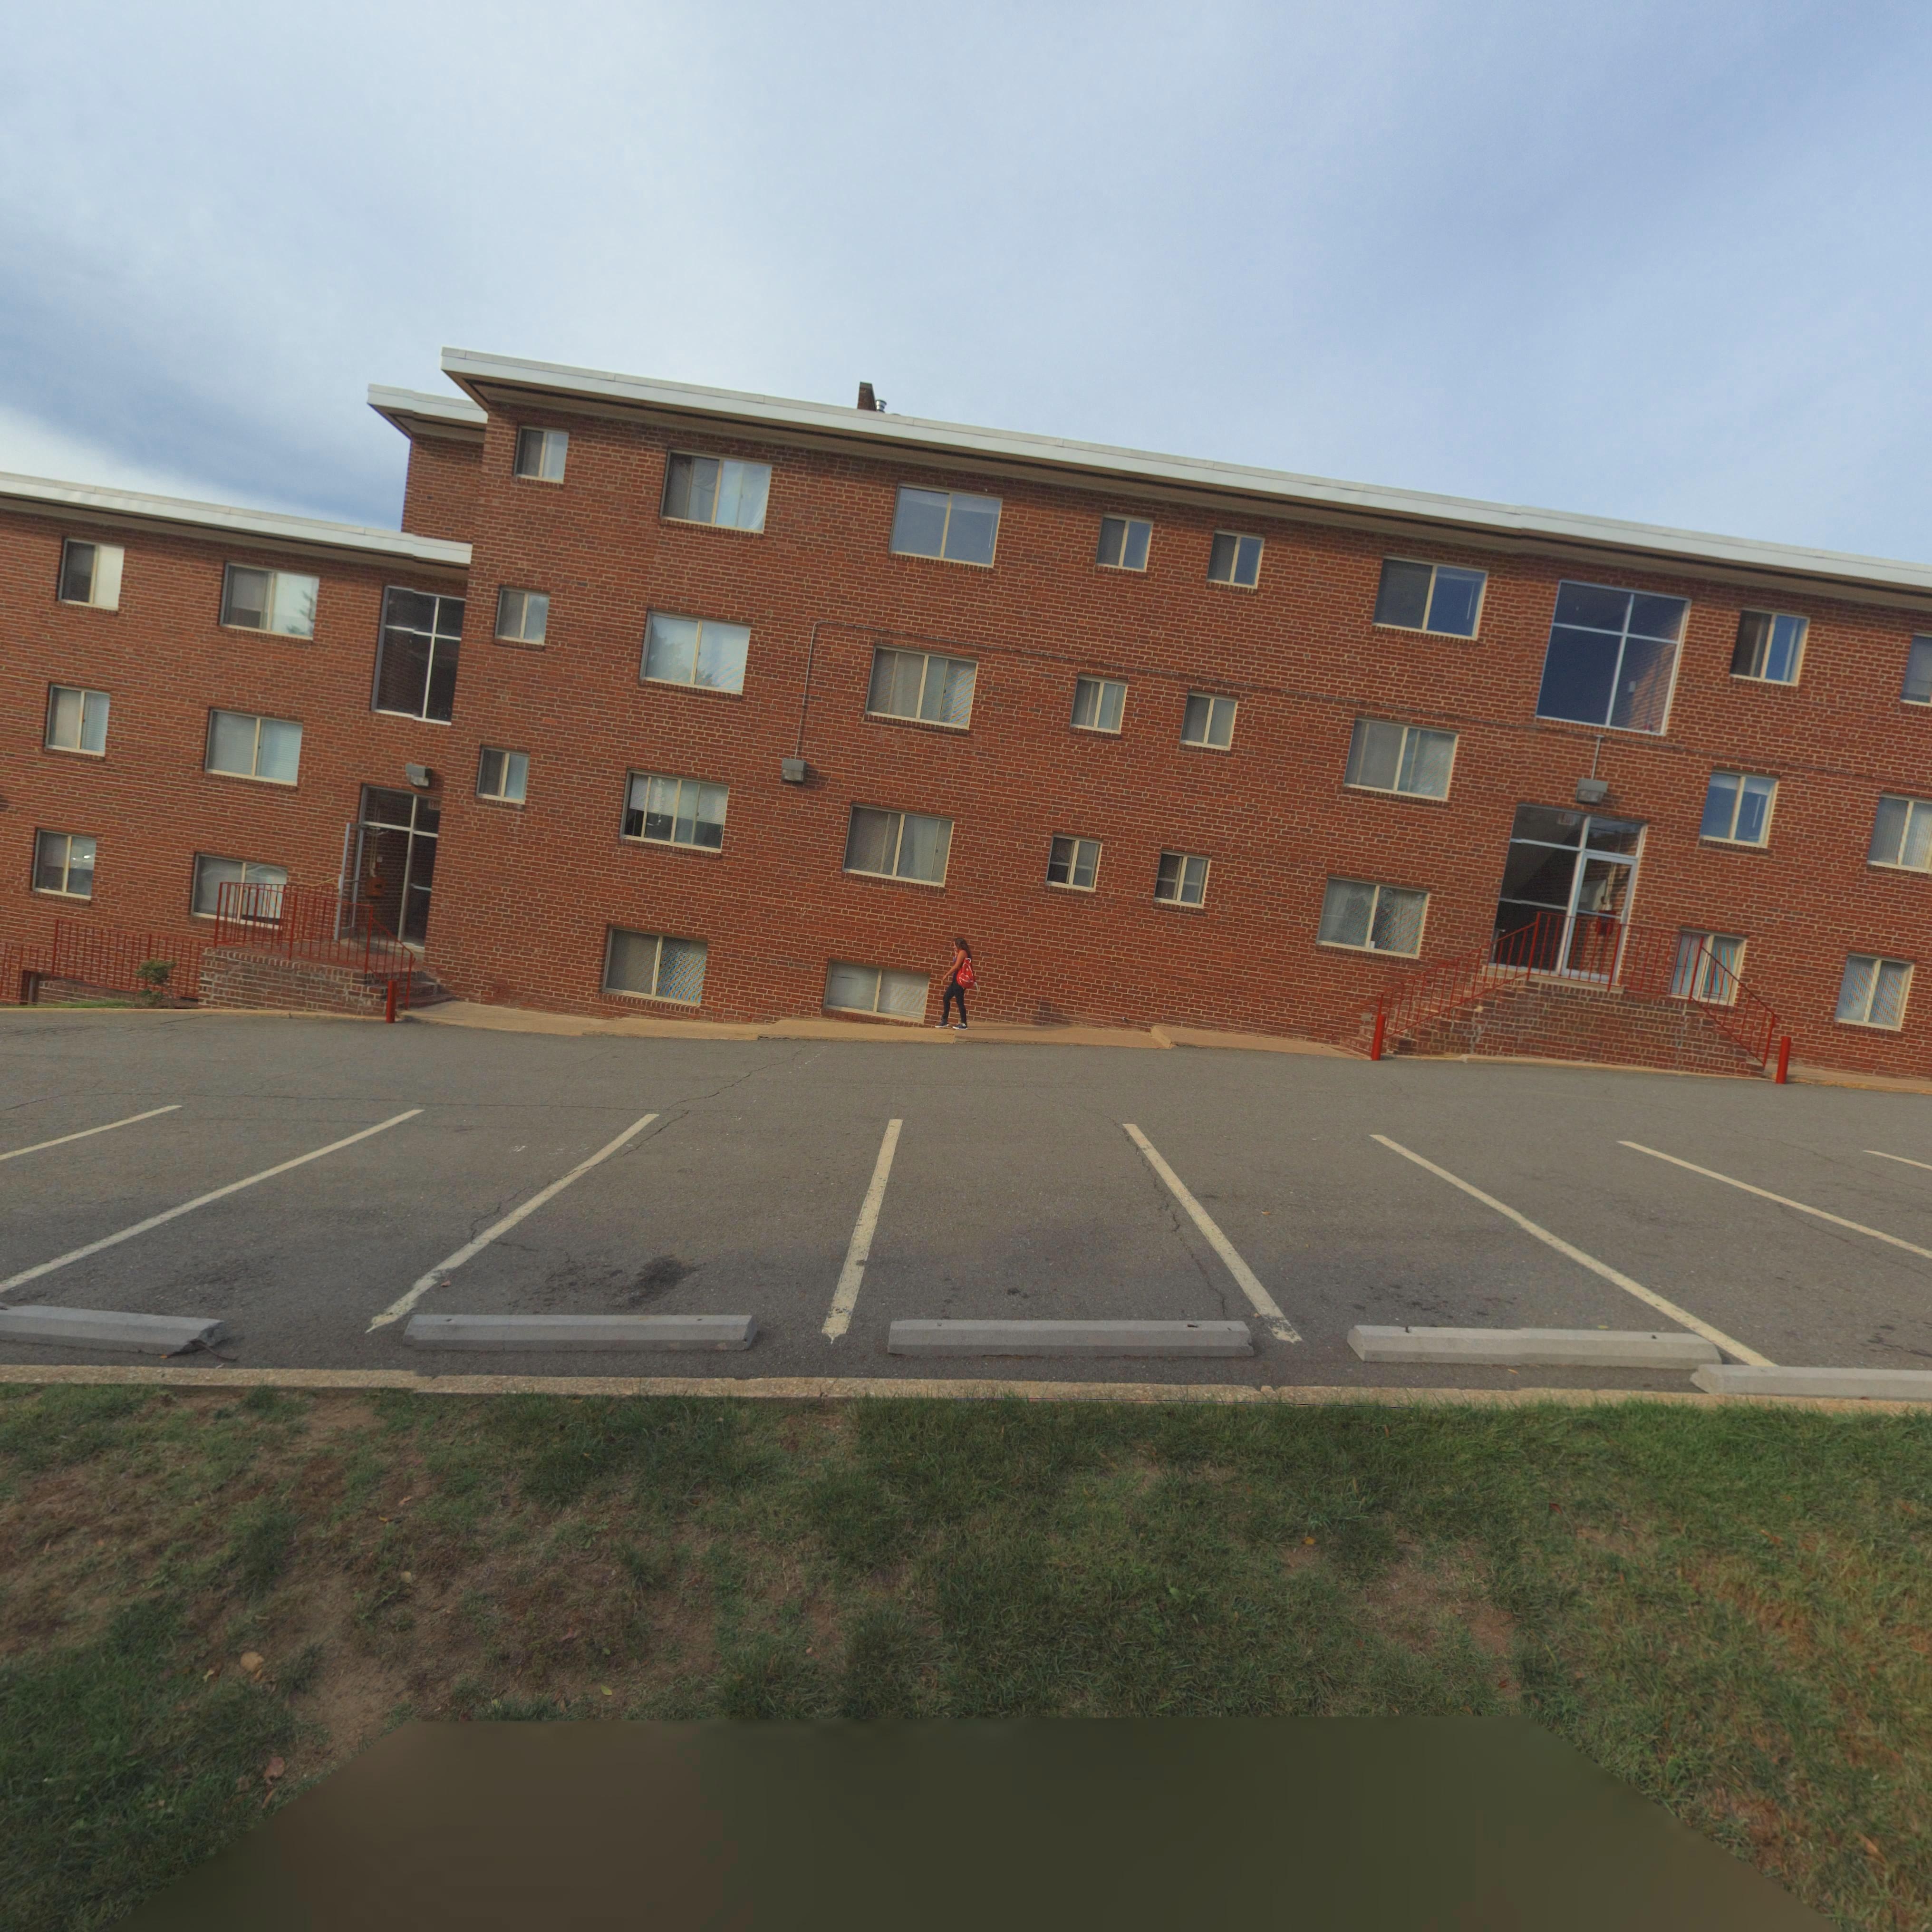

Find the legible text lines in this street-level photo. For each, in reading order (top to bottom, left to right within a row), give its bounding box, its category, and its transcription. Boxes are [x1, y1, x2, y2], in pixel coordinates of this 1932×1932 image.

[430, 800, 441, 809] None: EXIT
[1559, 812, 1576, 824] None: EXIT